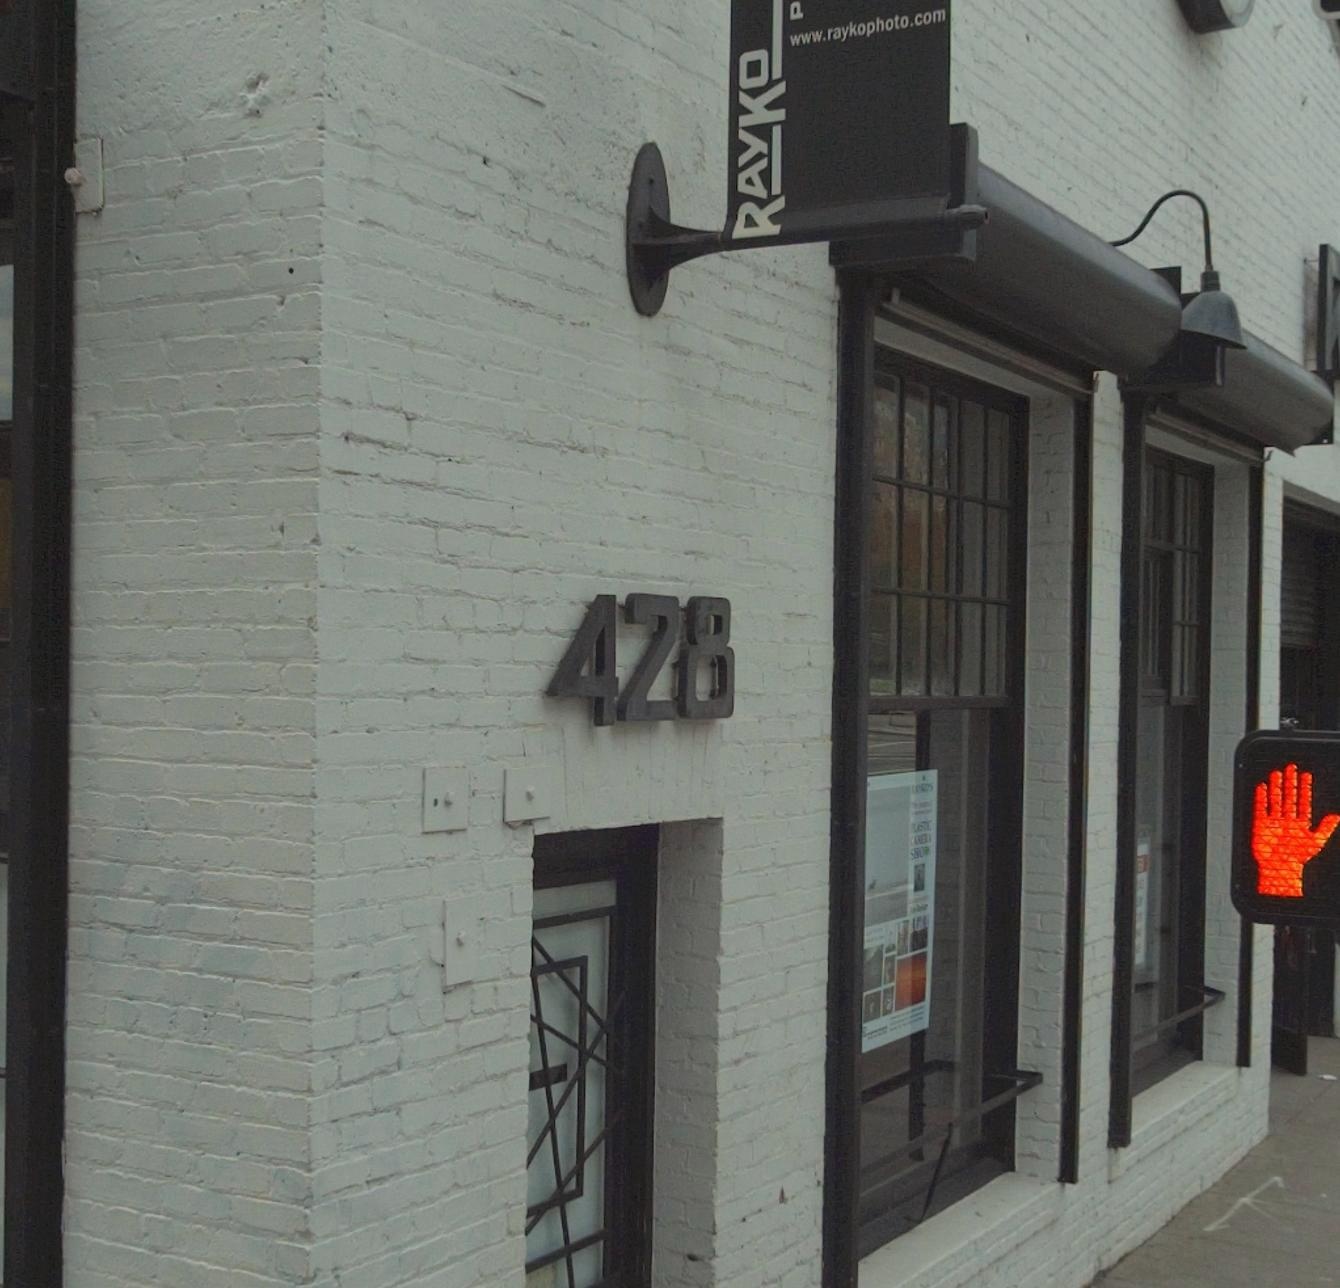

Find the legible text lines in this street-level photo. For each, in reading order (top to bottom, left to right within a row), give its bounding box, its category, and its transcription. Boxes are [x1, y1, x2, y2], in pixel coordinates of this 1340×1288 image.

[787, 0, 807, 24] None: P
[785, 4, 949, 50] None: www.raykophoto.com
[728, 42, 791, 245] BusinessName: RAYKO
[537, 588, 738, 732] StreetNumber: 428